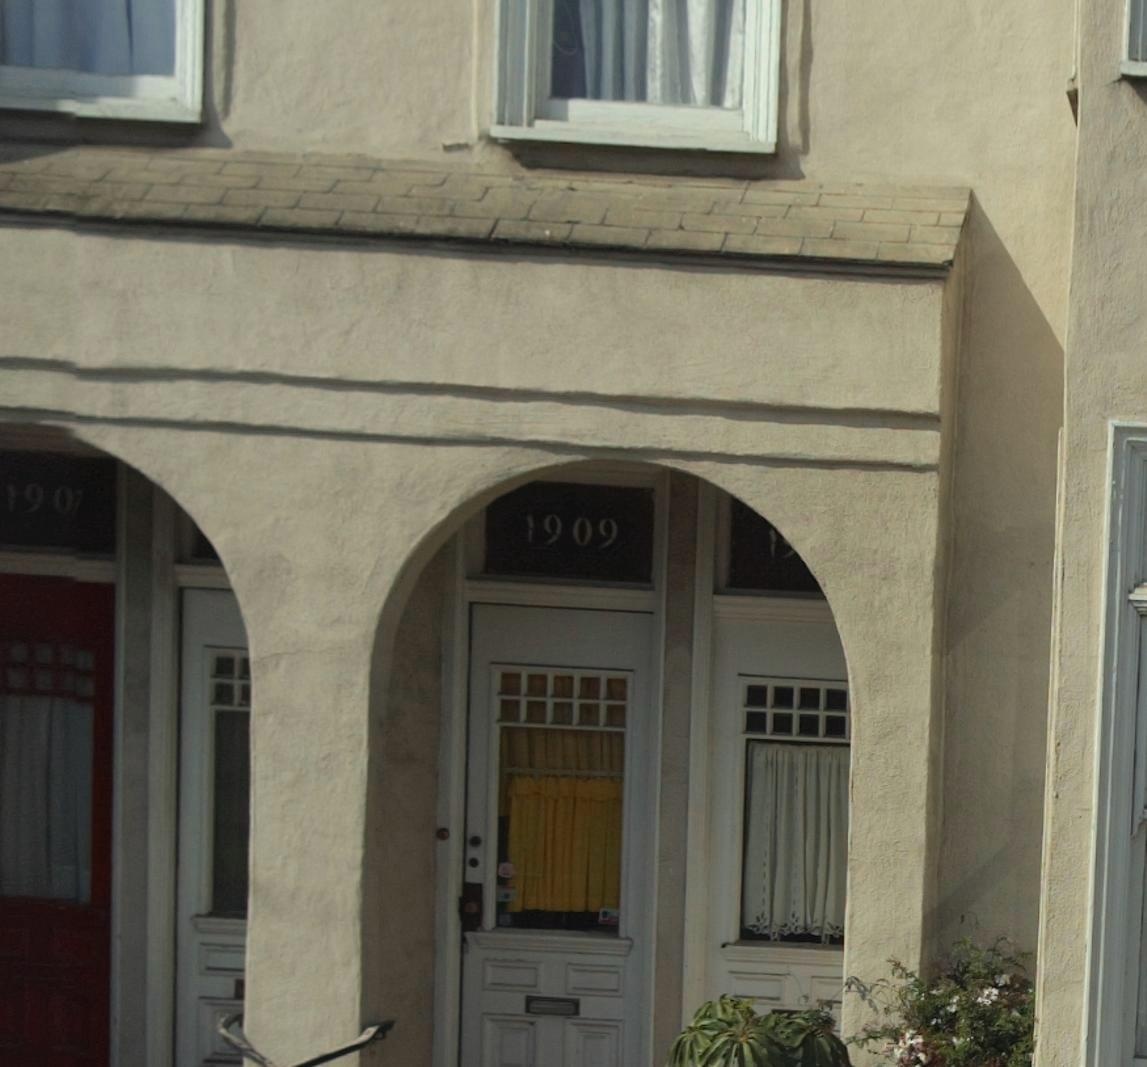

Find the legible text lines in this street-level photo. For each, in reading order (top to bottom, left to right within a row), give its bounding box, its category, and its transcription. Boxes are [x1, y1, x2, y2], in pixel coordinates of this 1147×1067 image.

[5, 478, 76, 518] StreetNumber: 190
[524, 510, 620, 552] StreetNumber: 1909
[766, 523, 779, 562] StreetNumber: 1